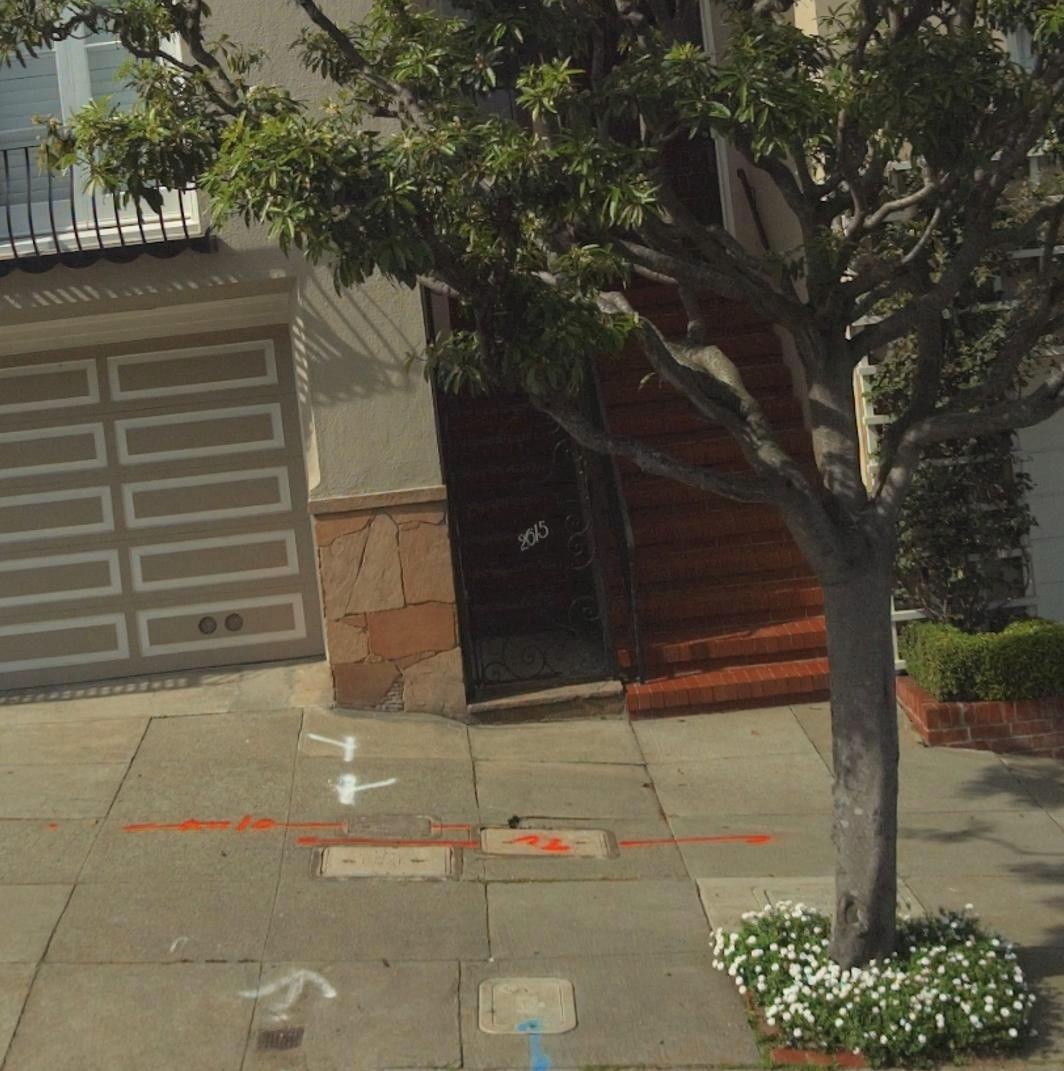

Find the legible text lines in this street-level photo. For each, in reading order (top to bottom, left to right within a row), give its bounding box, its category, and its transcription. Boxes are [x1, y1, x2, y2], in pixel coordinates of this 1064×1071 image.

[514, 515, 553, 557] StreetNumber: 2615